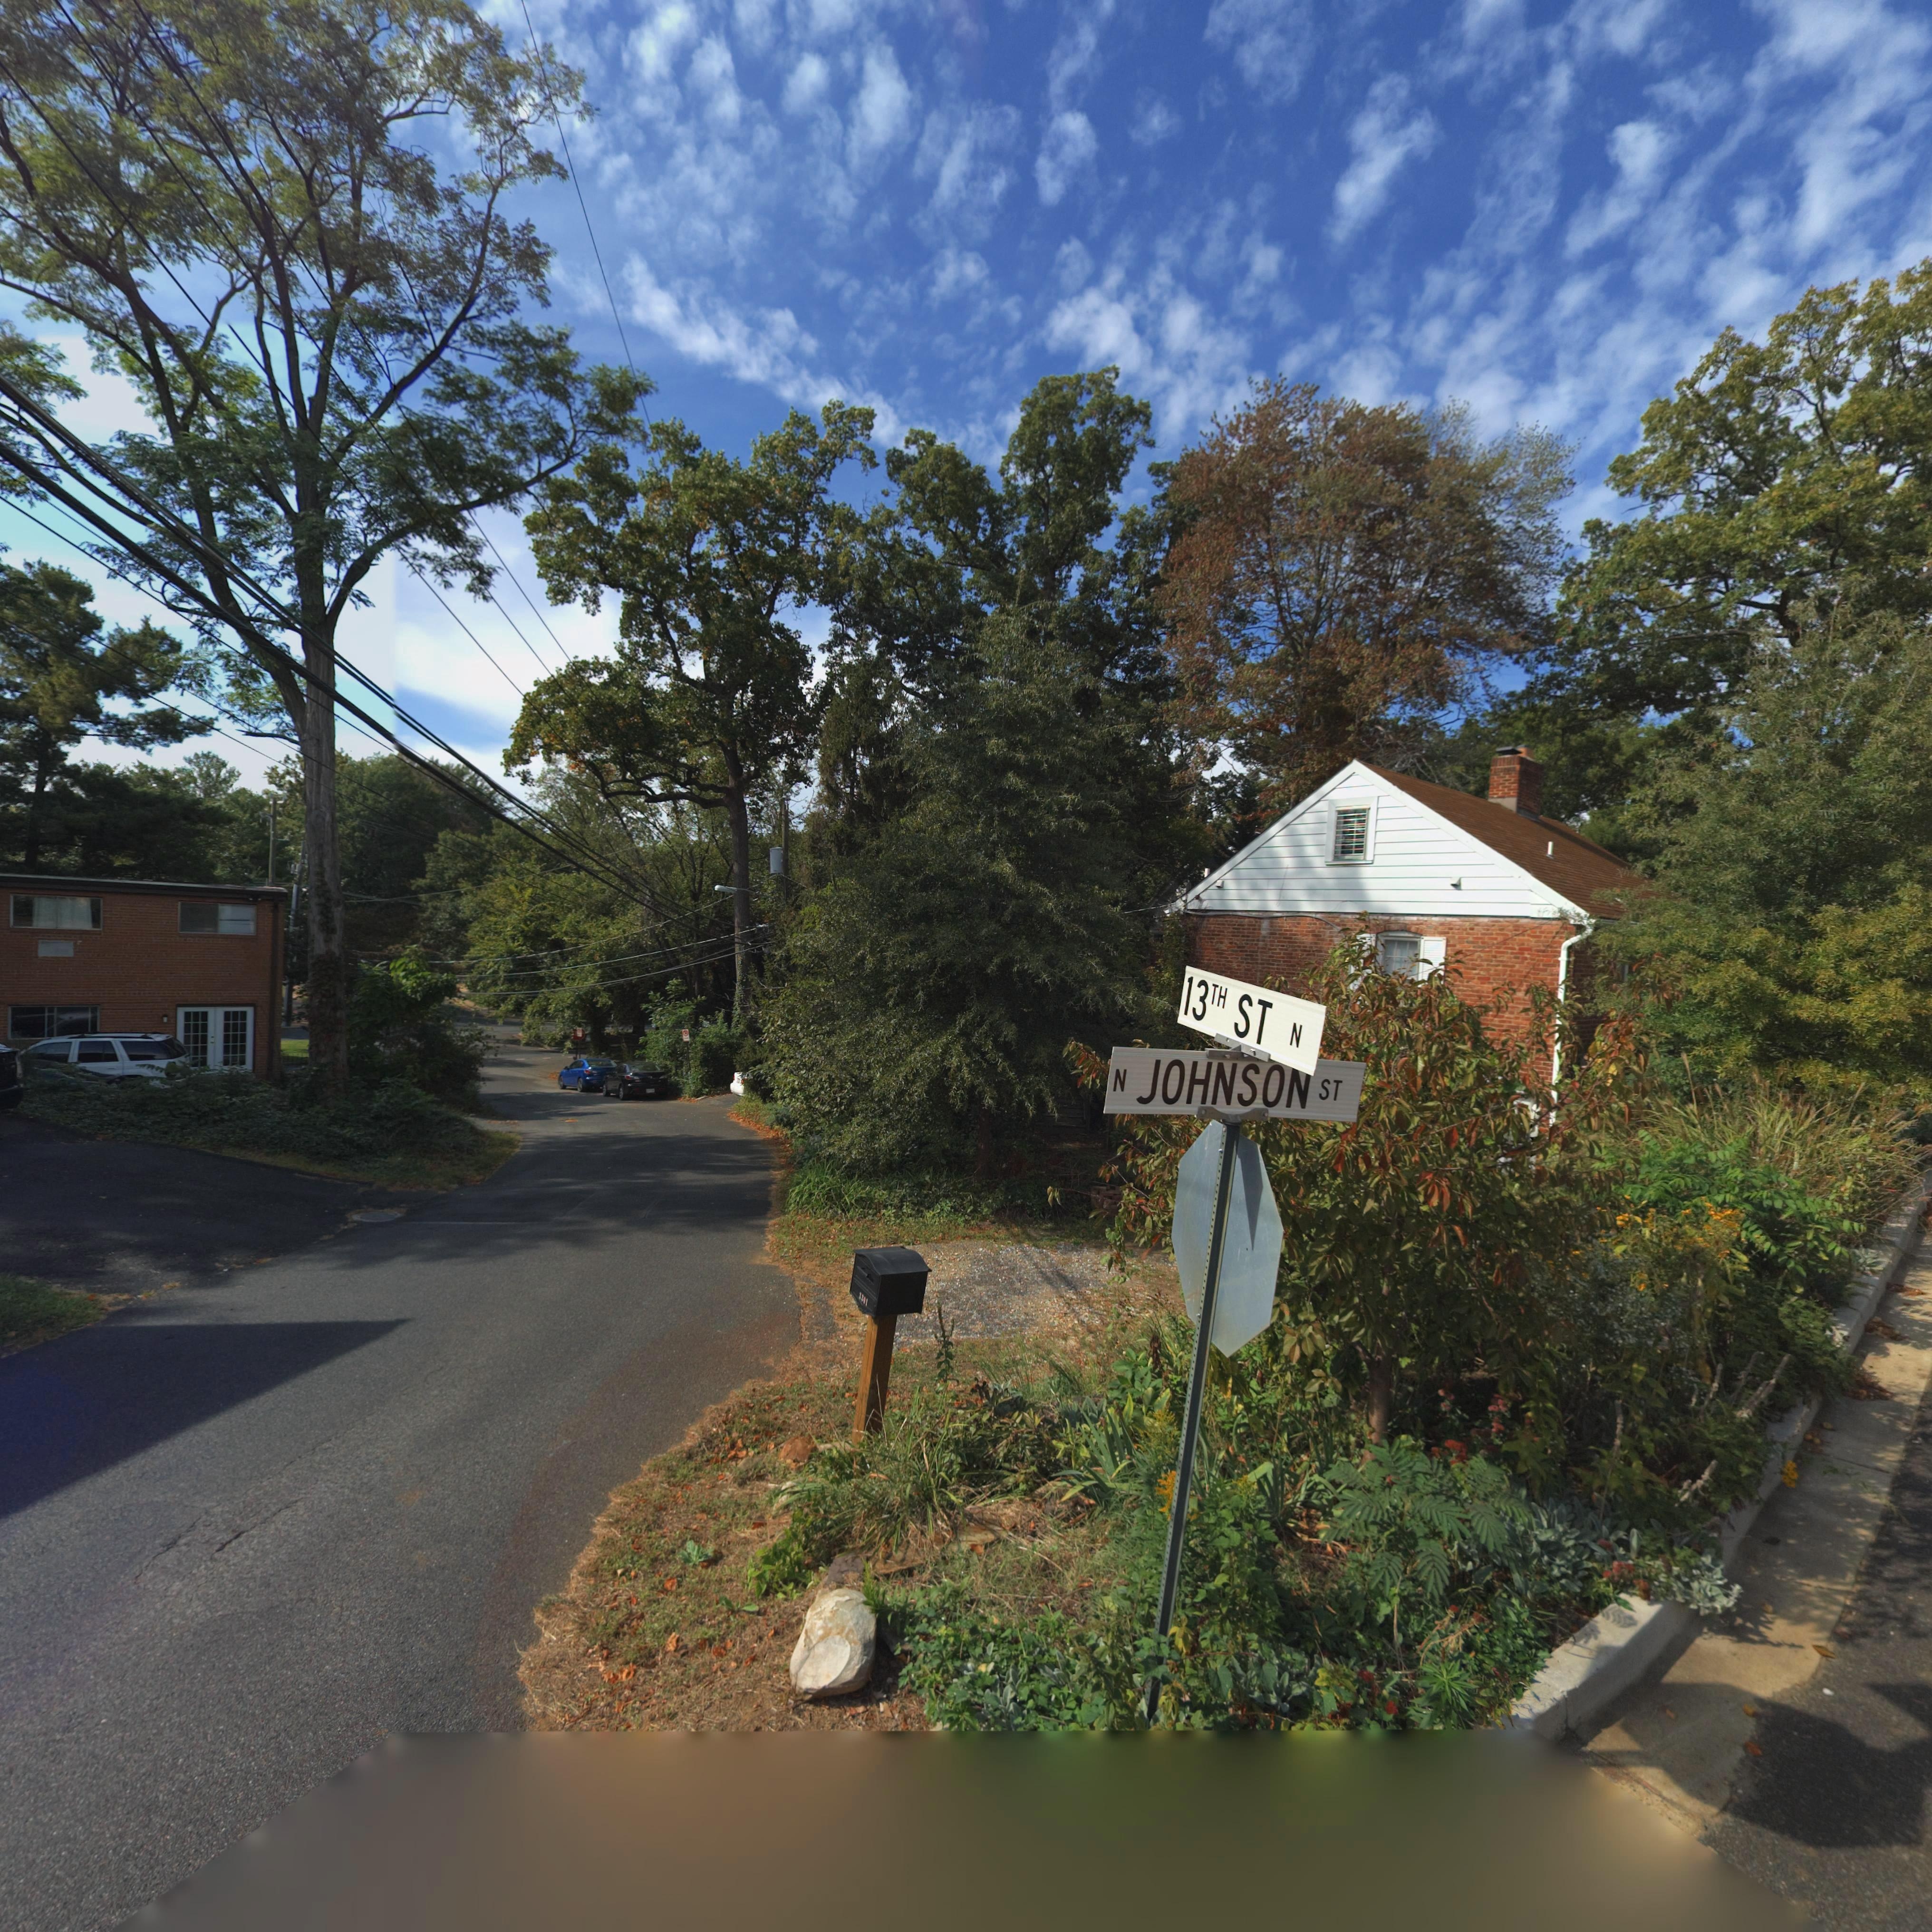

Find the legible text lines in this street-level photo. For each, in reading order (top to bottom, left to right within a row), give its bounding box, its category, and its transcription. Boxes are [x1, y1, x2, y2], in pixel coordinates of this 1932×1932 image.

[1179, 973, 1306, 1052] StreetName: 13TH ST N
[1111, 1055, 1346, 1111] StreetName: N JOHNSO* ST